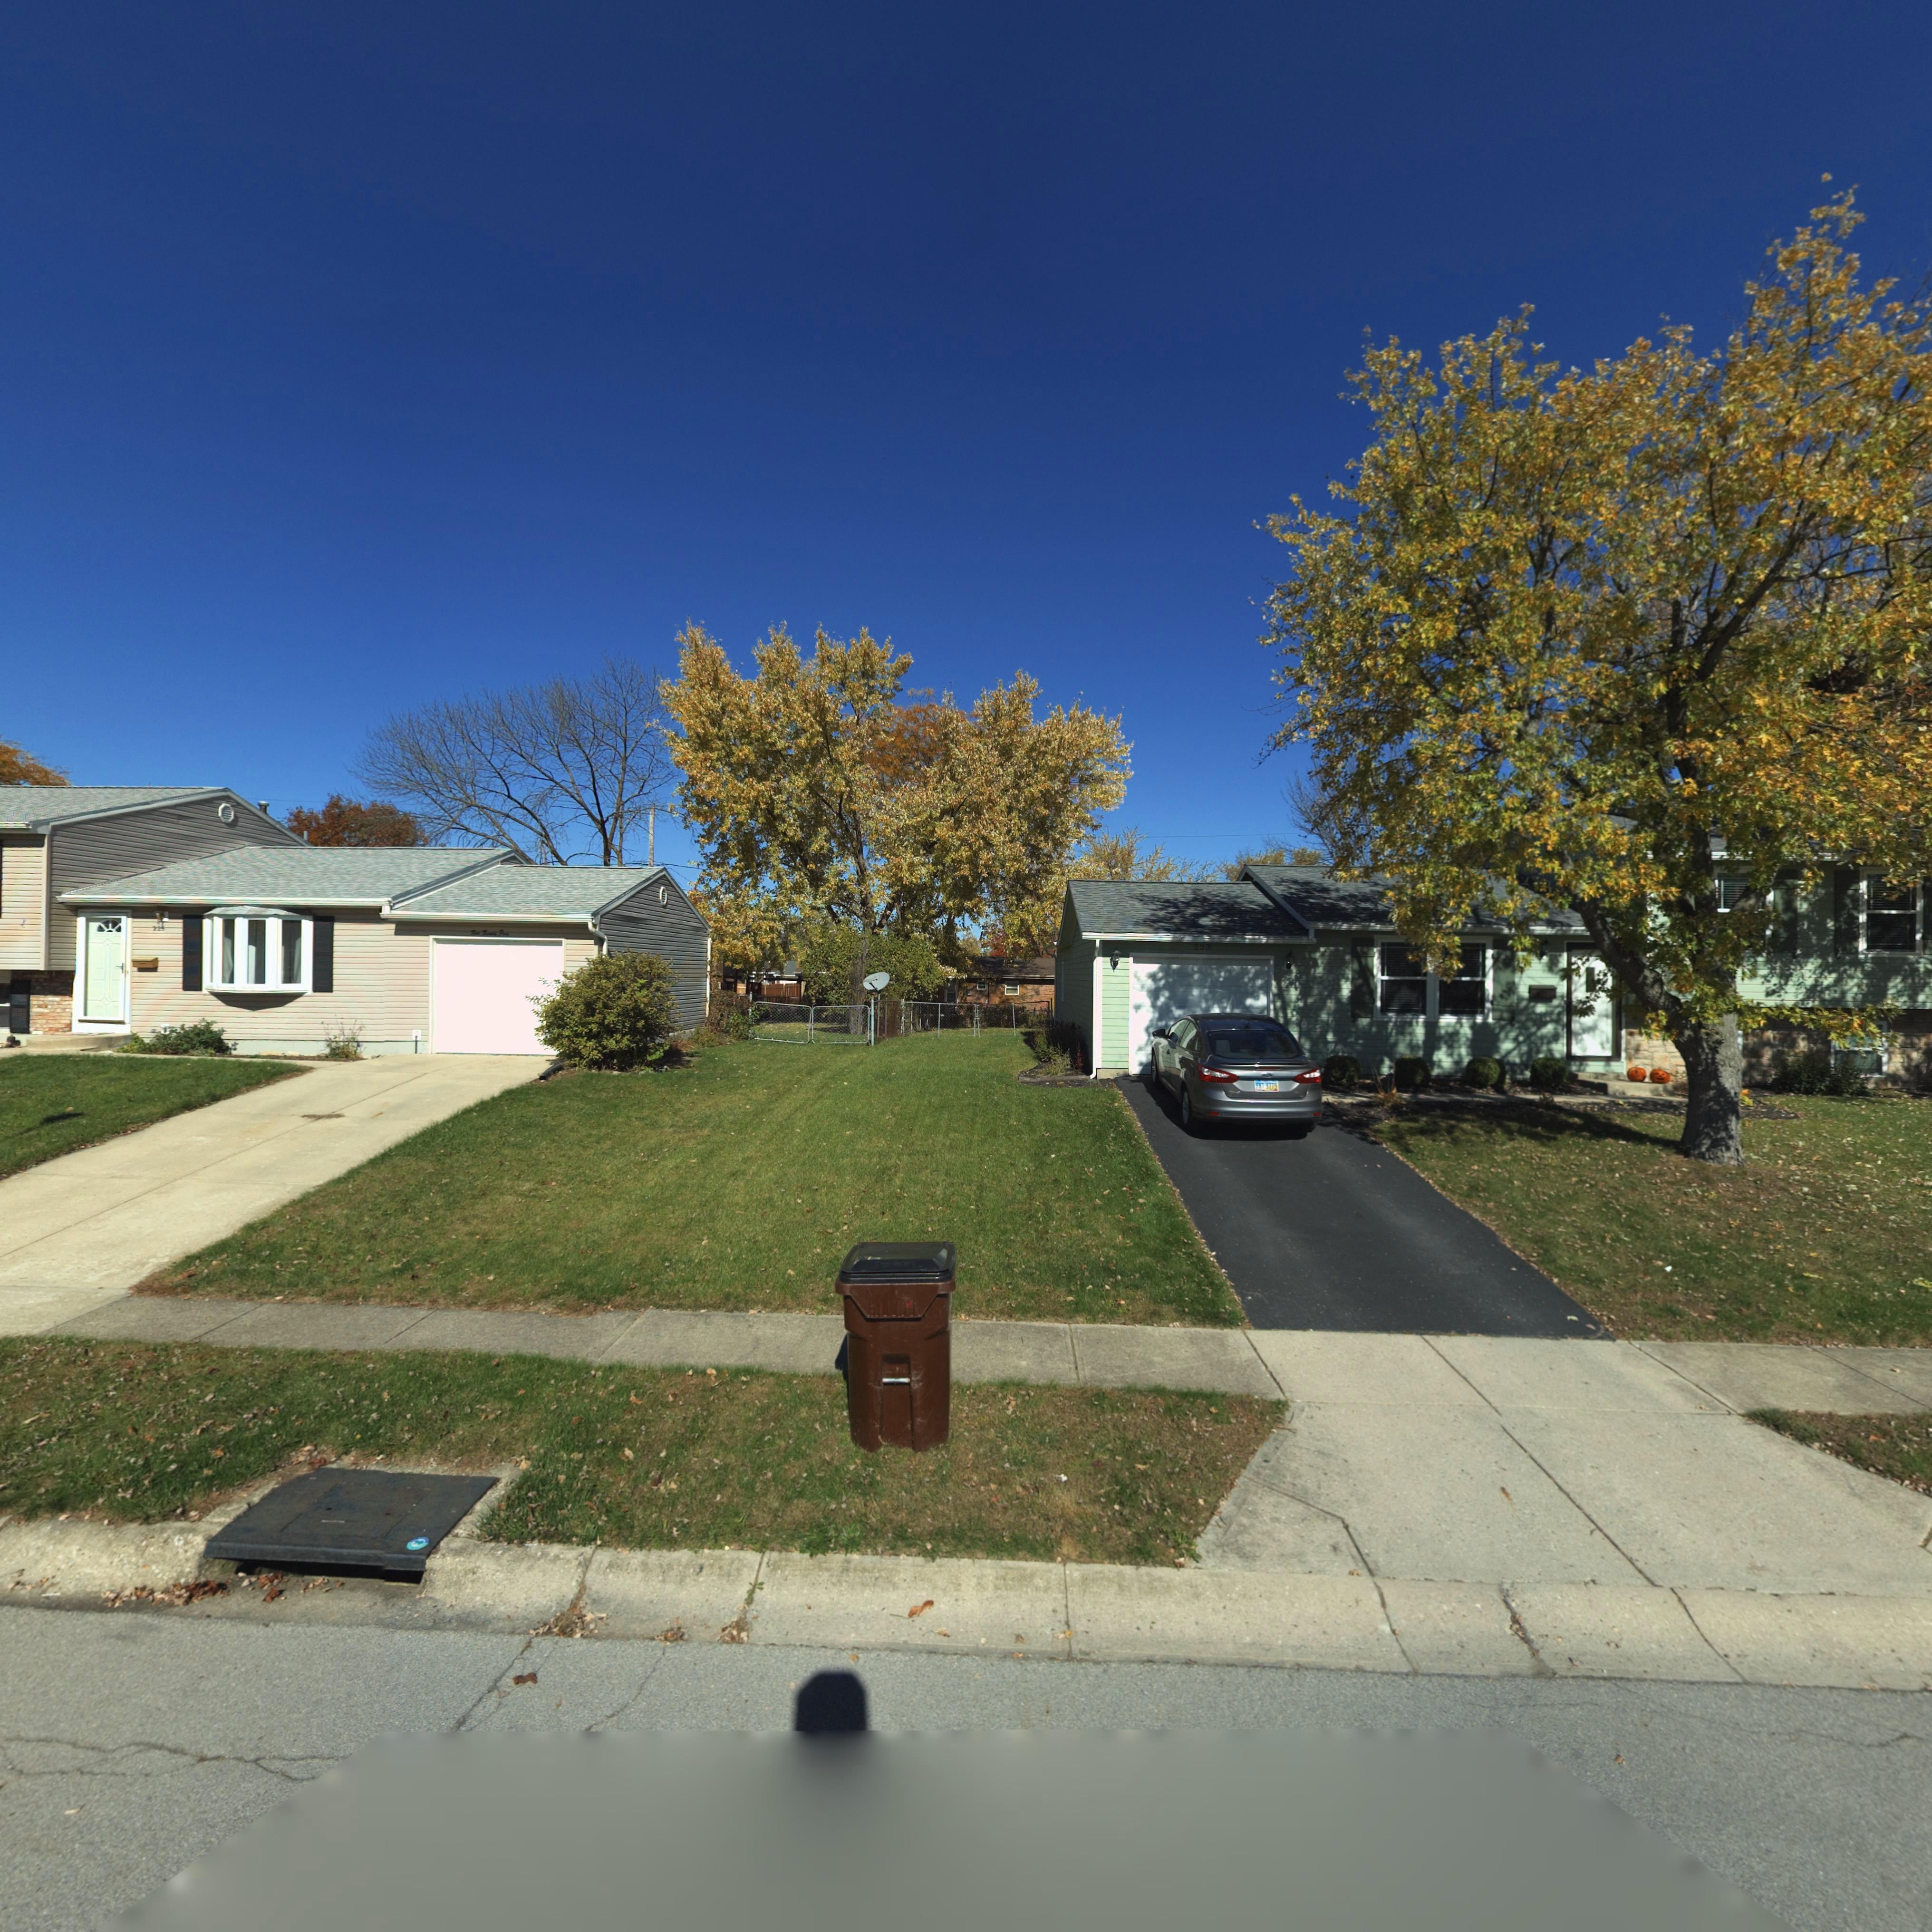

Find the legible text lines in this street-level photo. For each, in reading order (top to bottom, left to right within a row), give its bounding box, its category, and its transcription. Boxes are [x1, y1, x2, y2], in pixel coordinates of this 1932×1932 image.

[152, 925, 165, 932] StreetNumber: 22*
[470, 929, 476, 936] StreetNumber: T
[482, 929, 488, 936] StreetNumber: T
[497, 929, 505, 937] StreetNumber: F
[1193, 943, 1211, 950] StreetNumber: 223